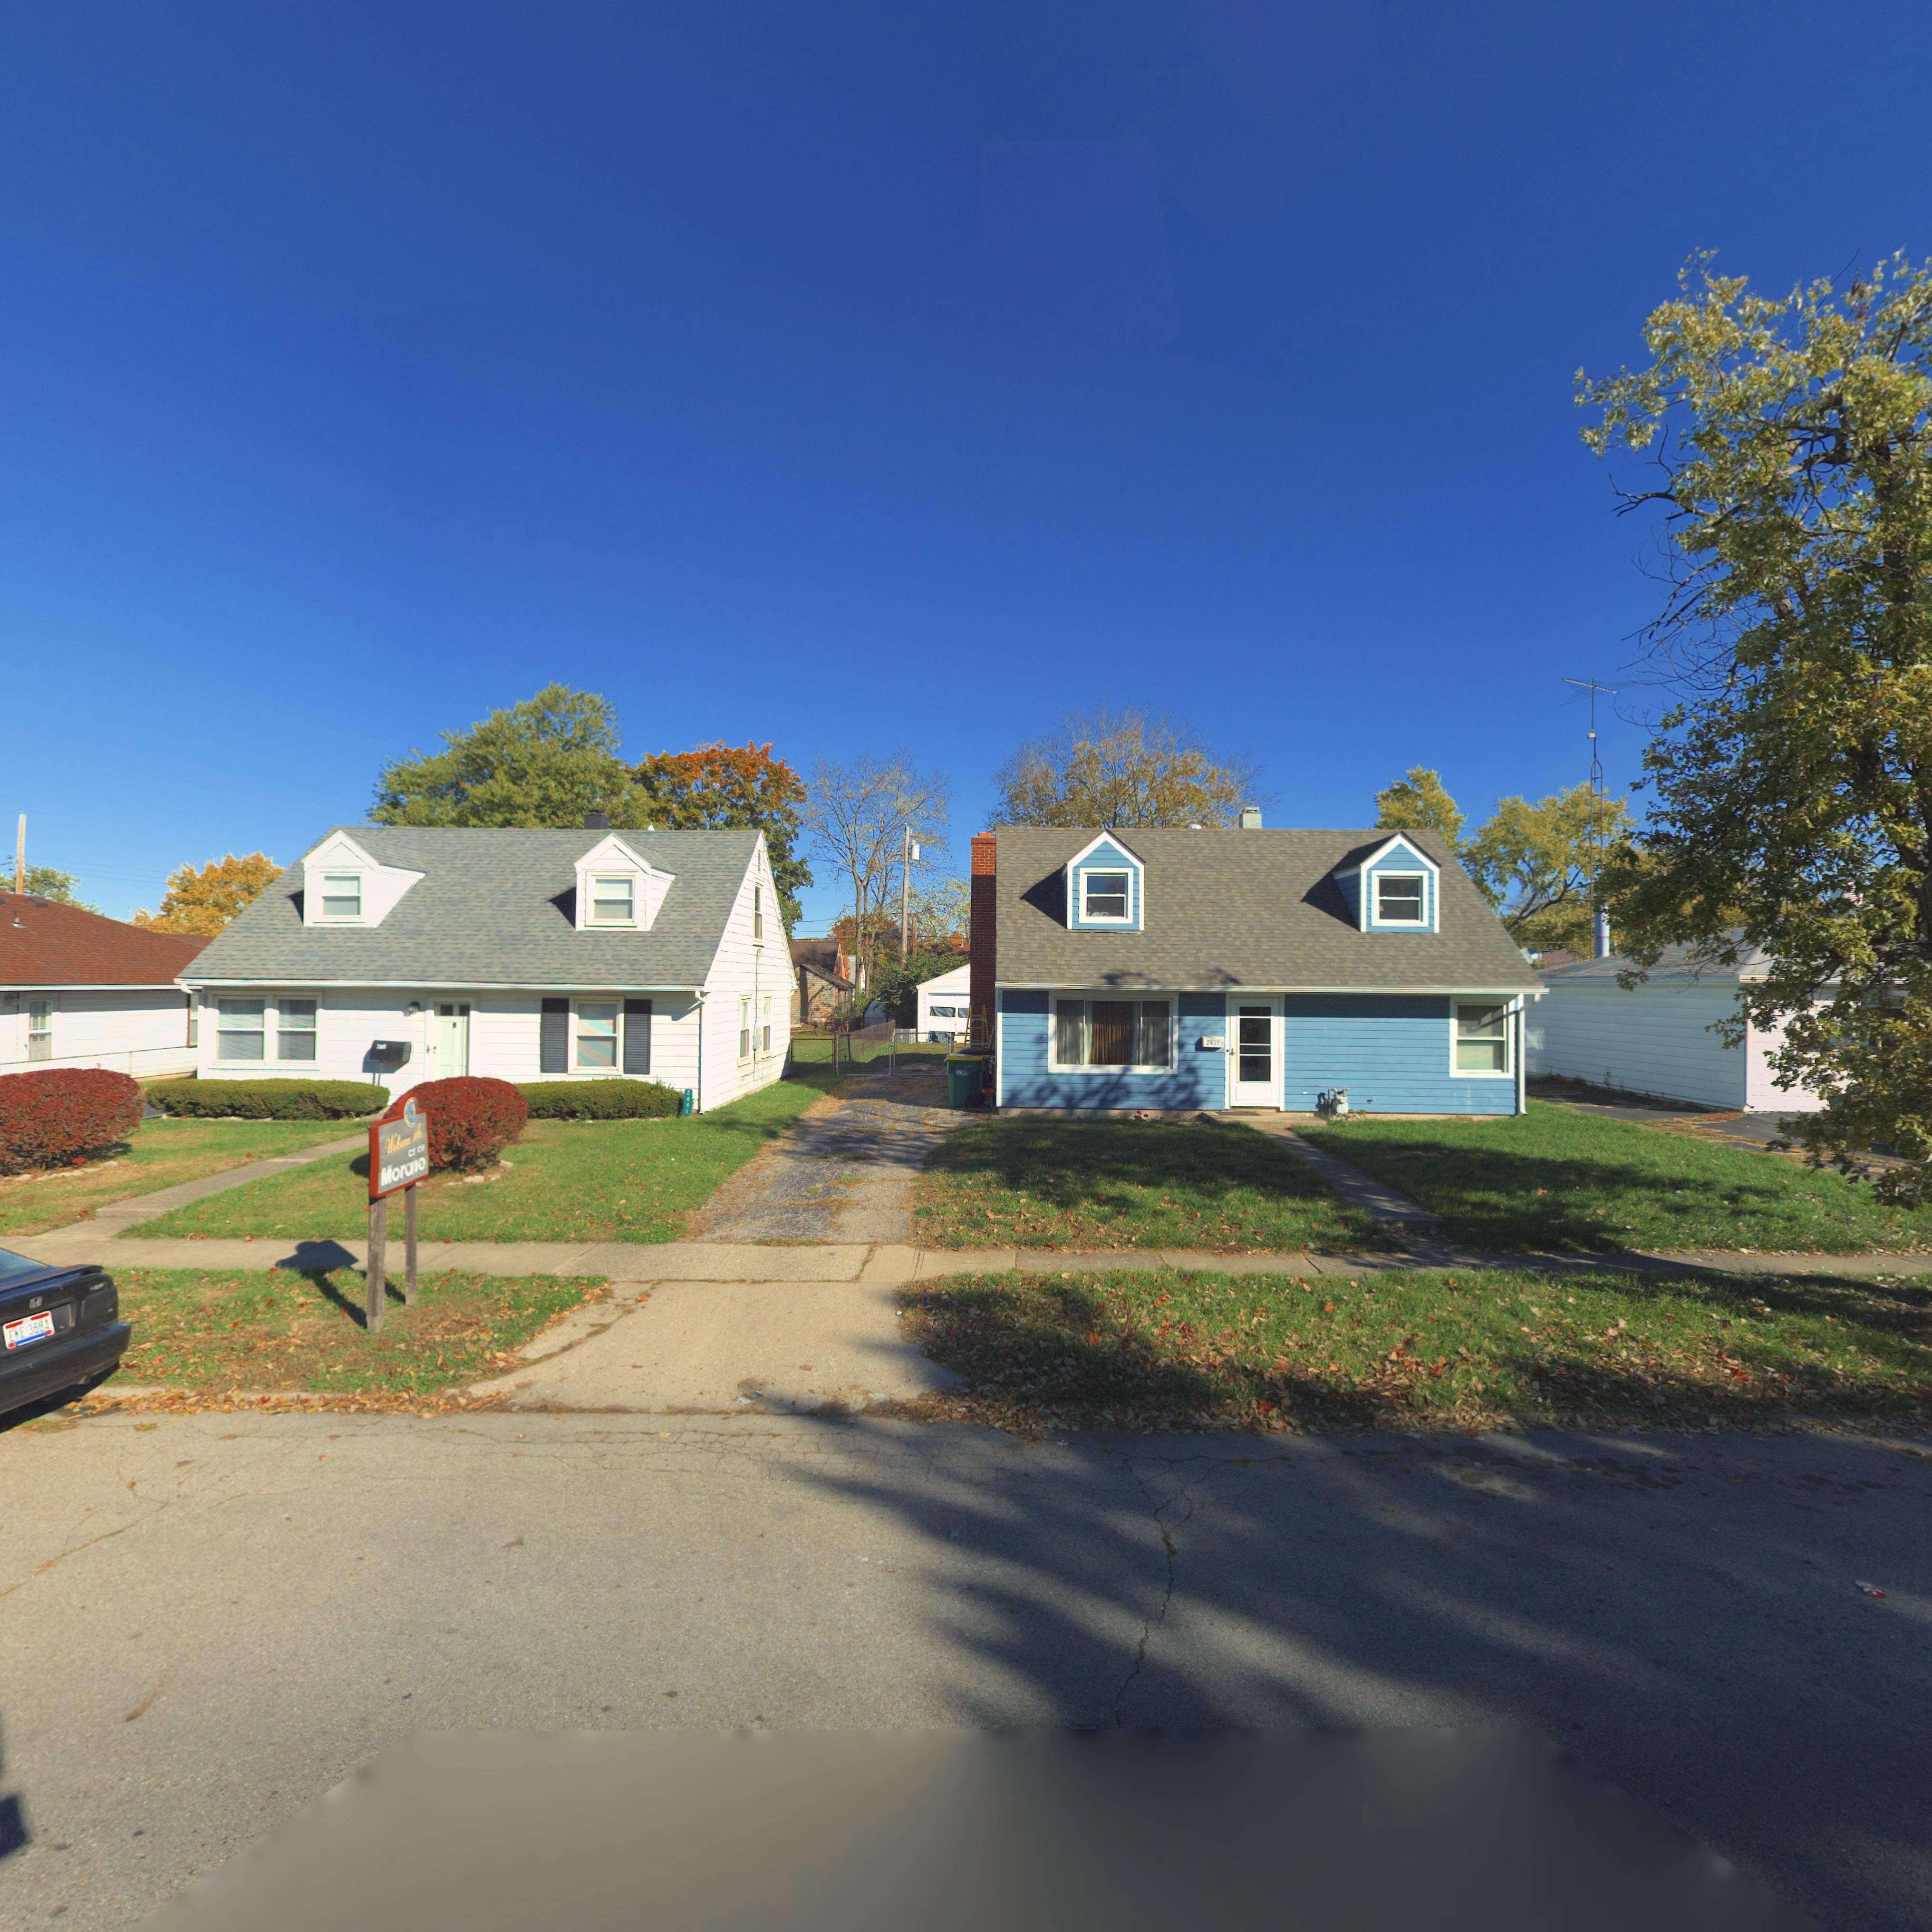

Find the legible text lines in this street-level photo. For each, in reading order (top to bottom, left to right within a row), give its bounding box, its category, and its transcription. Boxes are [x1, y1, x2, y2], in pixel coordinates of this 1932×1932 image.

[1206, 1039, 1220, 1046] StreetNumber: 2437
[384, 1132, 411, 1157] None: Welcome
[407, 1142, 426, 1159] None: C* OF
[379, 1156, 427, 1188] None: Mora*e
[7, 1317, 50, 1343] None: EKE*3884